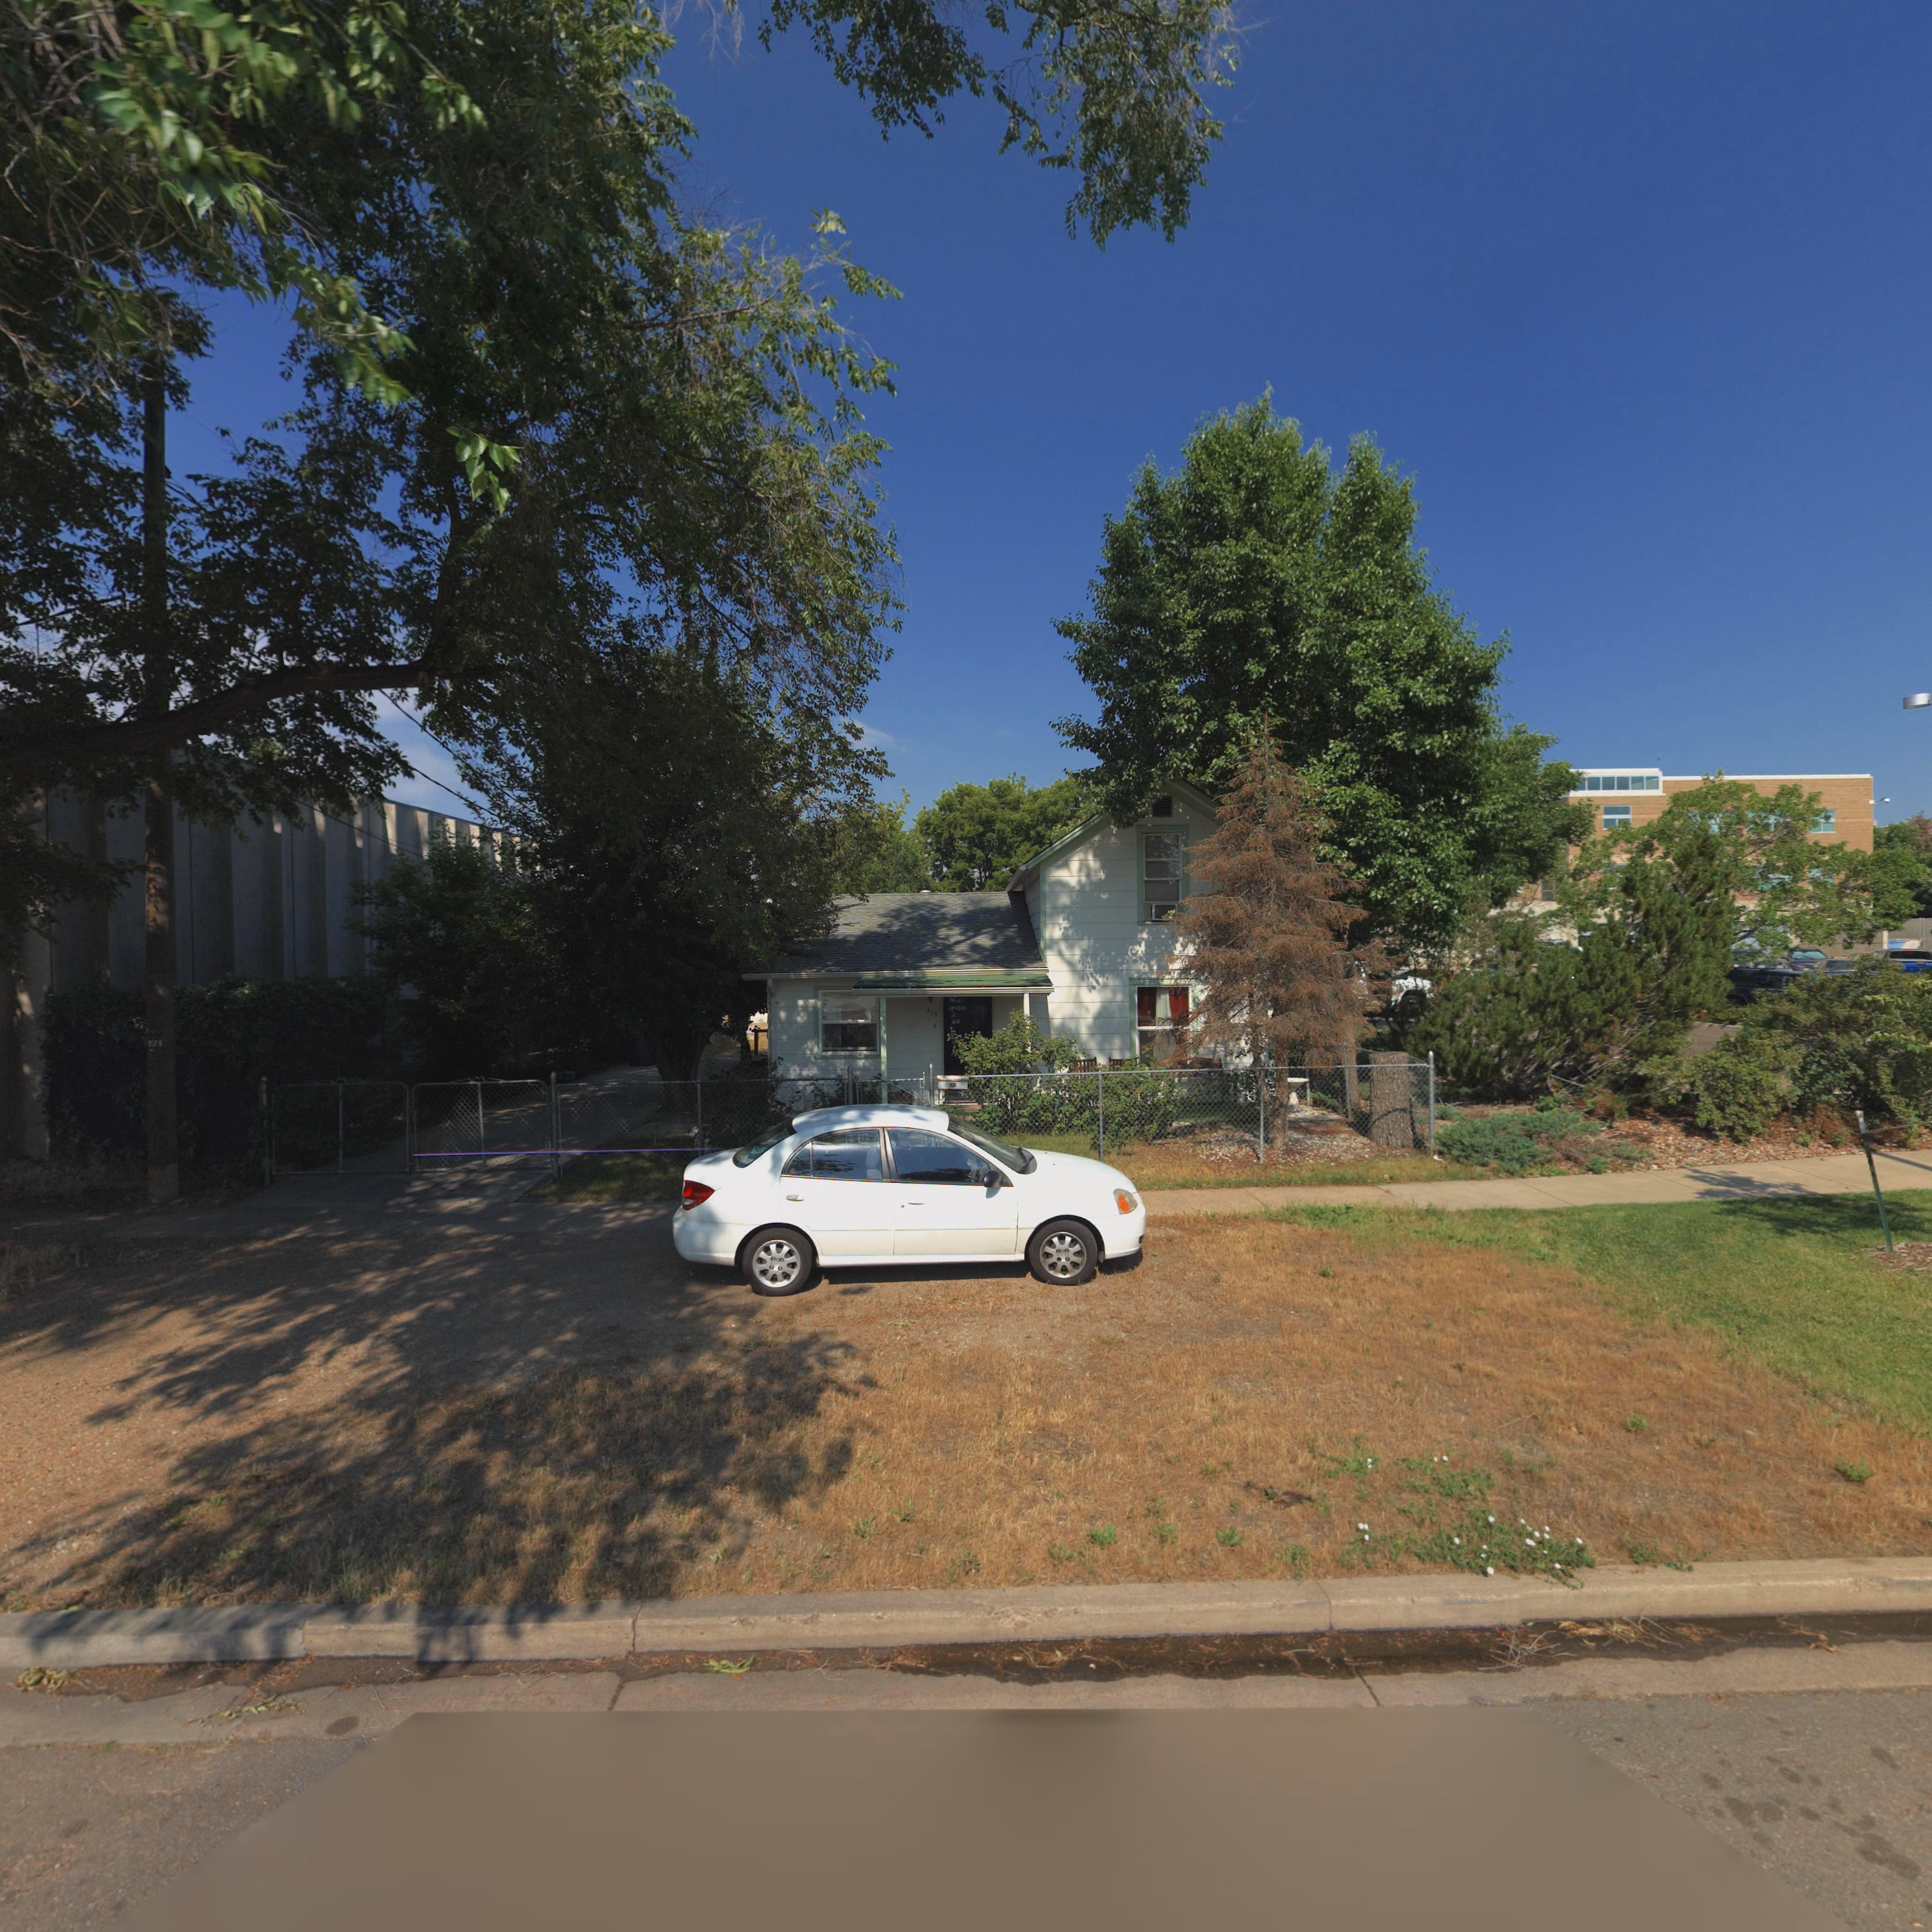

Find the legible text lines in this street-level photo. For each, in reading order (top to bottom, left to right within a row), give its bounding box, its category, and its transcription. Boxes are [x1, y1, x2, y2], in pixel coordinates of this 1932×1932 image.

[926, 1007, 937, 1017] StreetNumber: 219